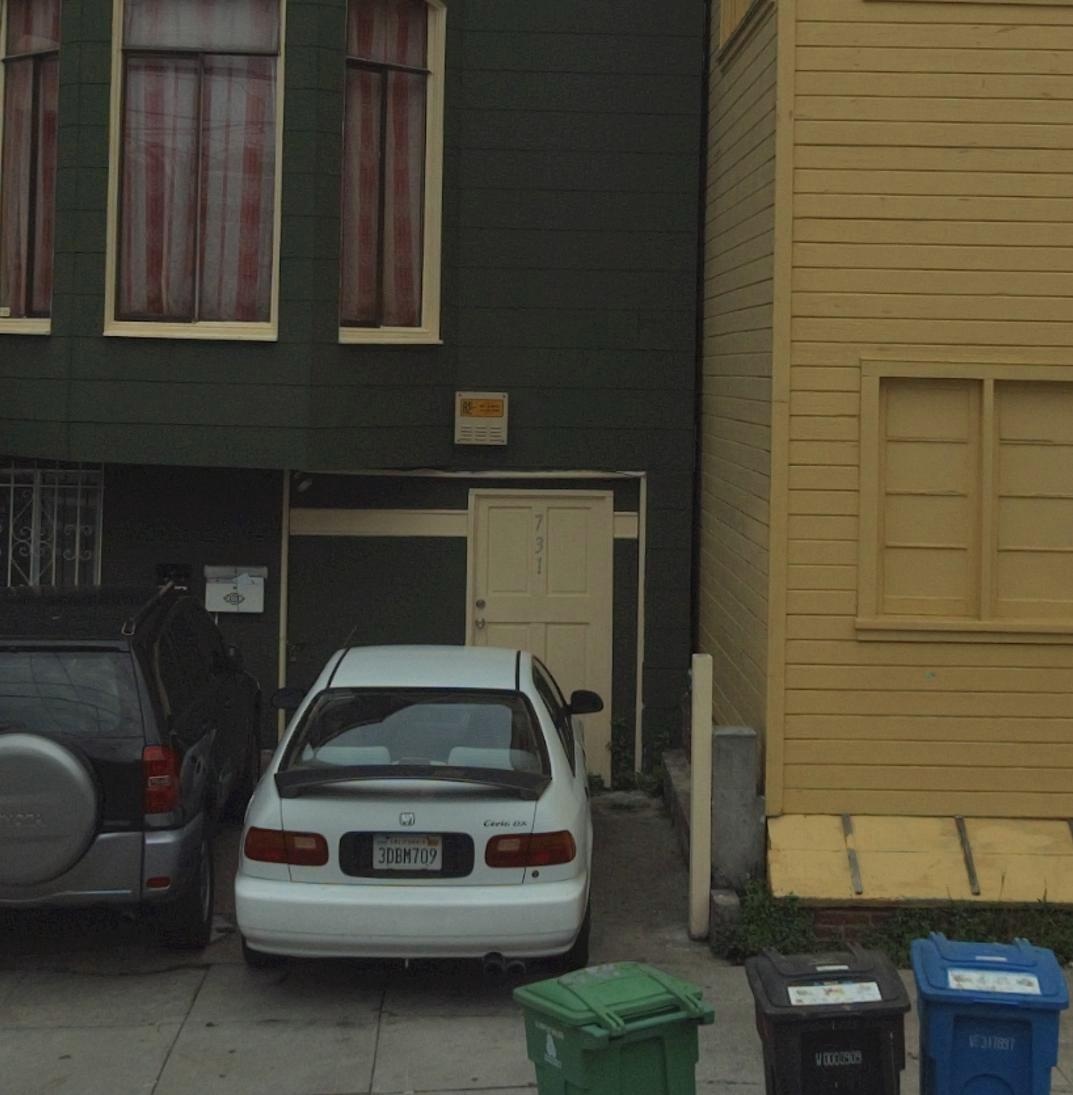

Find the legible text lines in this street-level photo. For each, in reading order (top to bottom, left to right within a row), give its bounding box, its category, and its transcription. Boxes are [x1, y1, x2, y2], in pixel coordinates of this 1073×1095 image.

[533, 512, 546, 575] StreetNumber: 731
[377, 847, 437, 865] None: 3DBM709
[968, 1033, 1016, 1051] None: V6317687
[814, 1050, 863, 1067] None: *0000909